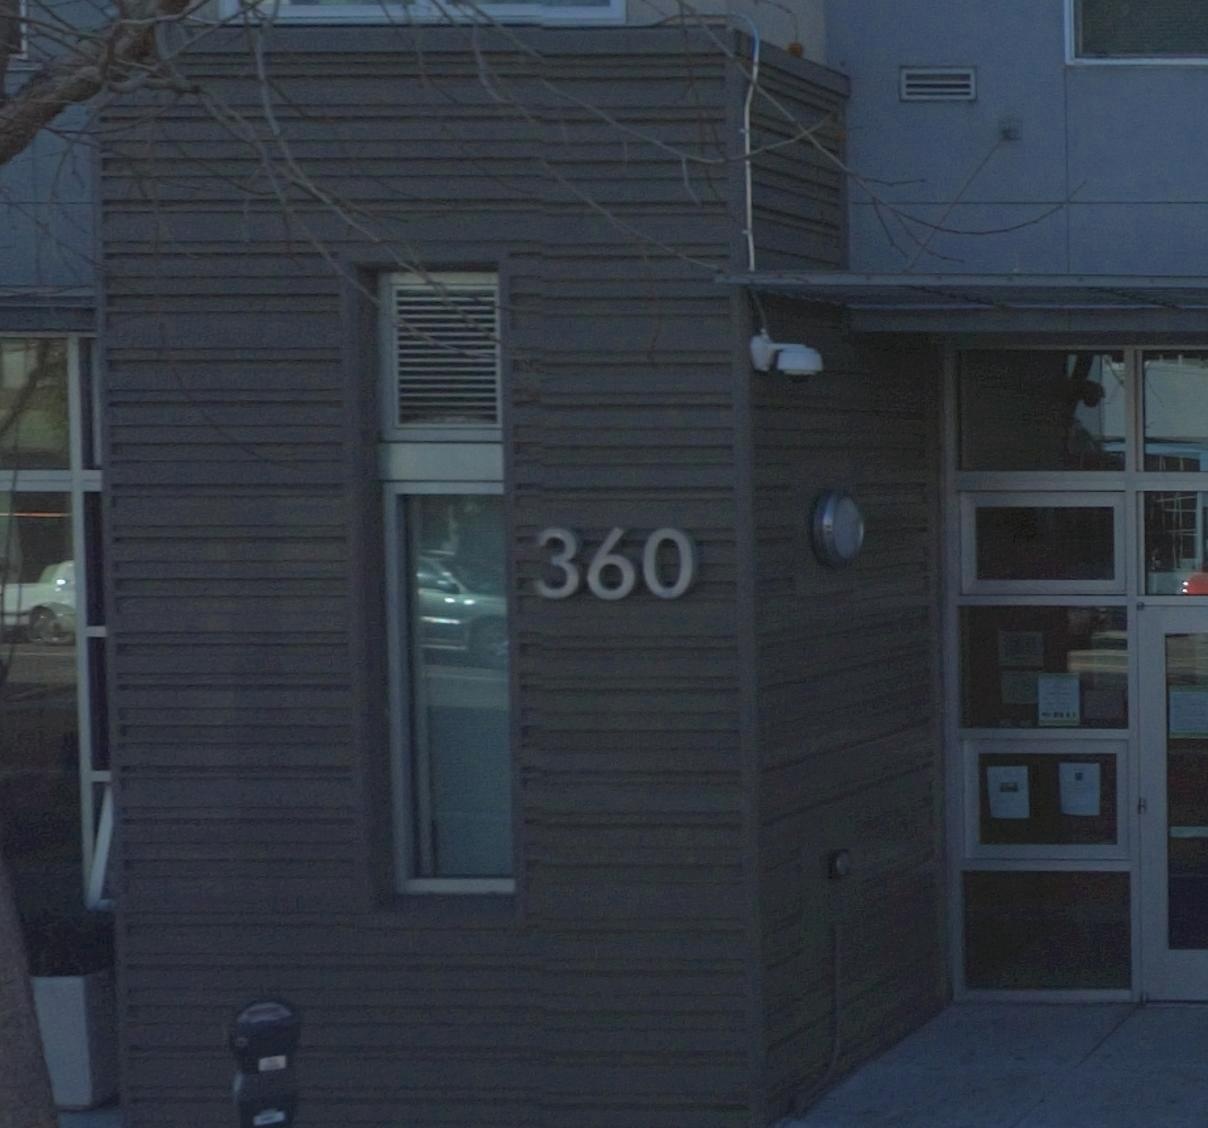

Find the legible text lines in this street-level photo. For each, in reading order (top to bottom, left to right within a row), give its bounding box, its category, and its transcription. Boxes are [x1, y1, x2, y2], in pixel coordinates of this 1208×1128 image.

[532, 524, 696, 603] StreetNumber: 360